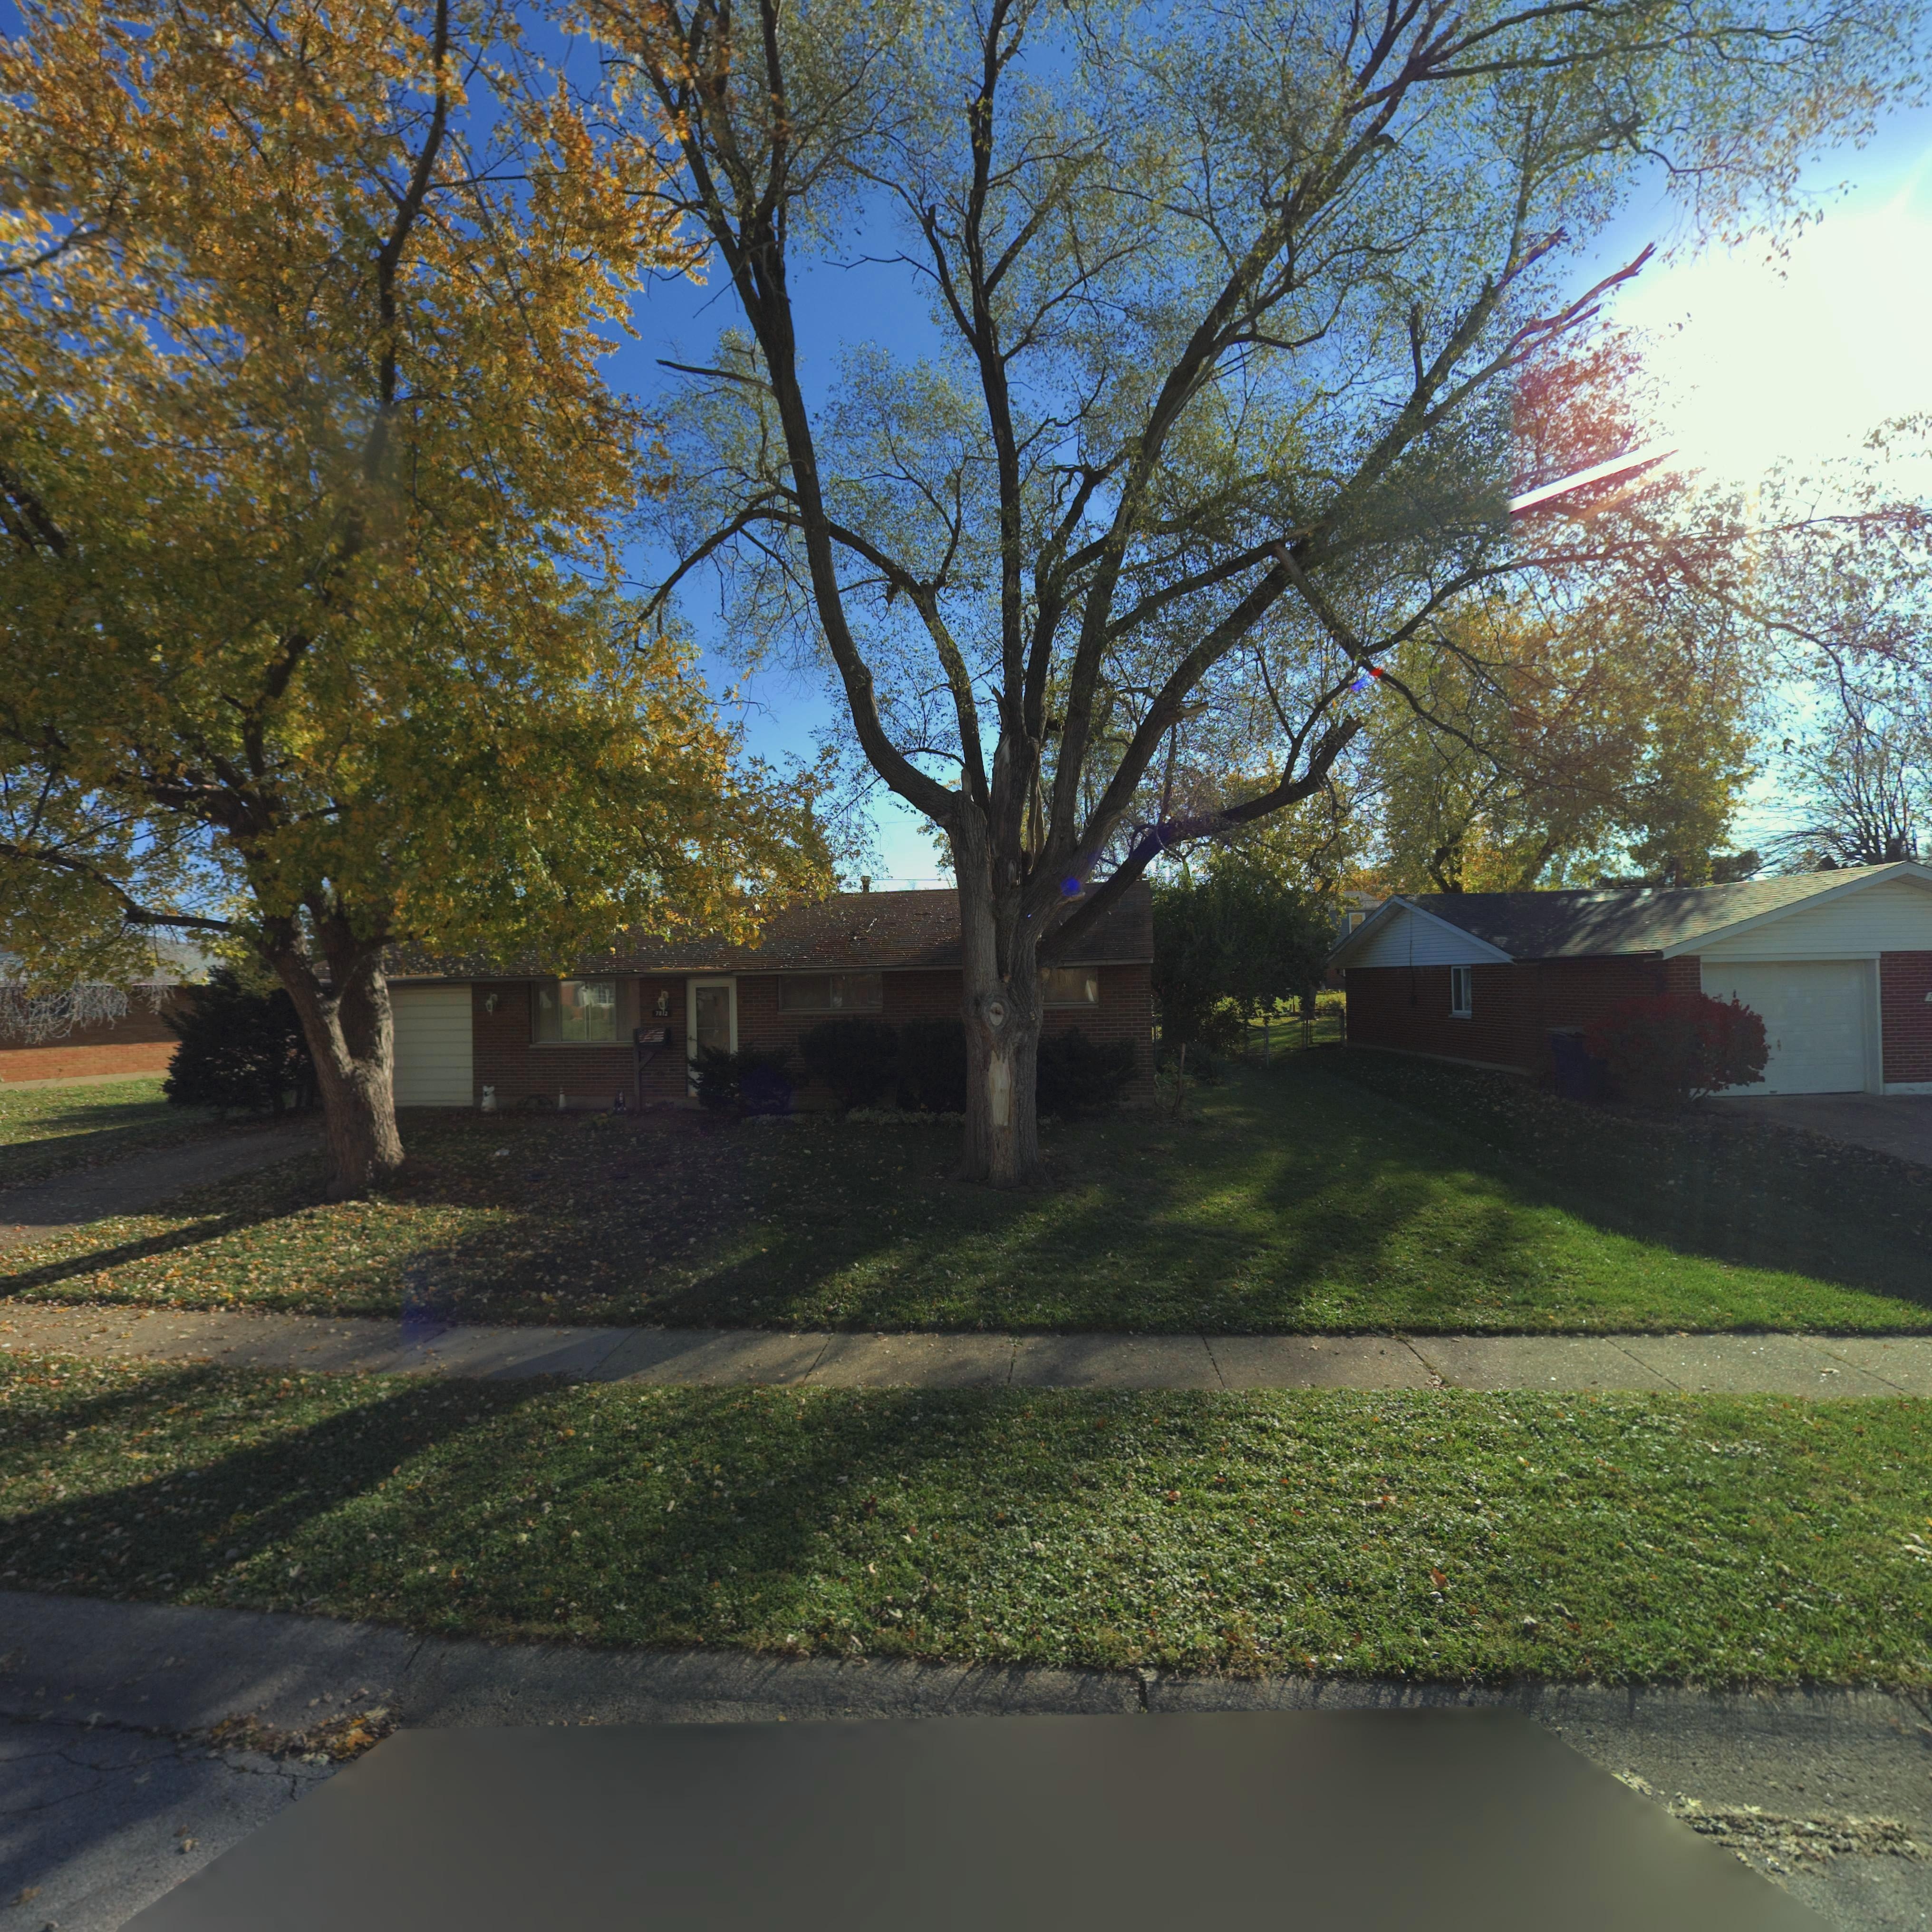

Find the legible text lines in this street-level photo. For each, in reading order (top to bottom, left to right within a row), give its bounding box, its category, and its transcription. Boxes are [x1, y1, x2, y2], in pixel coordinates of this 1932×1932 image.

[654, 1010, 669, 1017] StreetNumber: 7**2